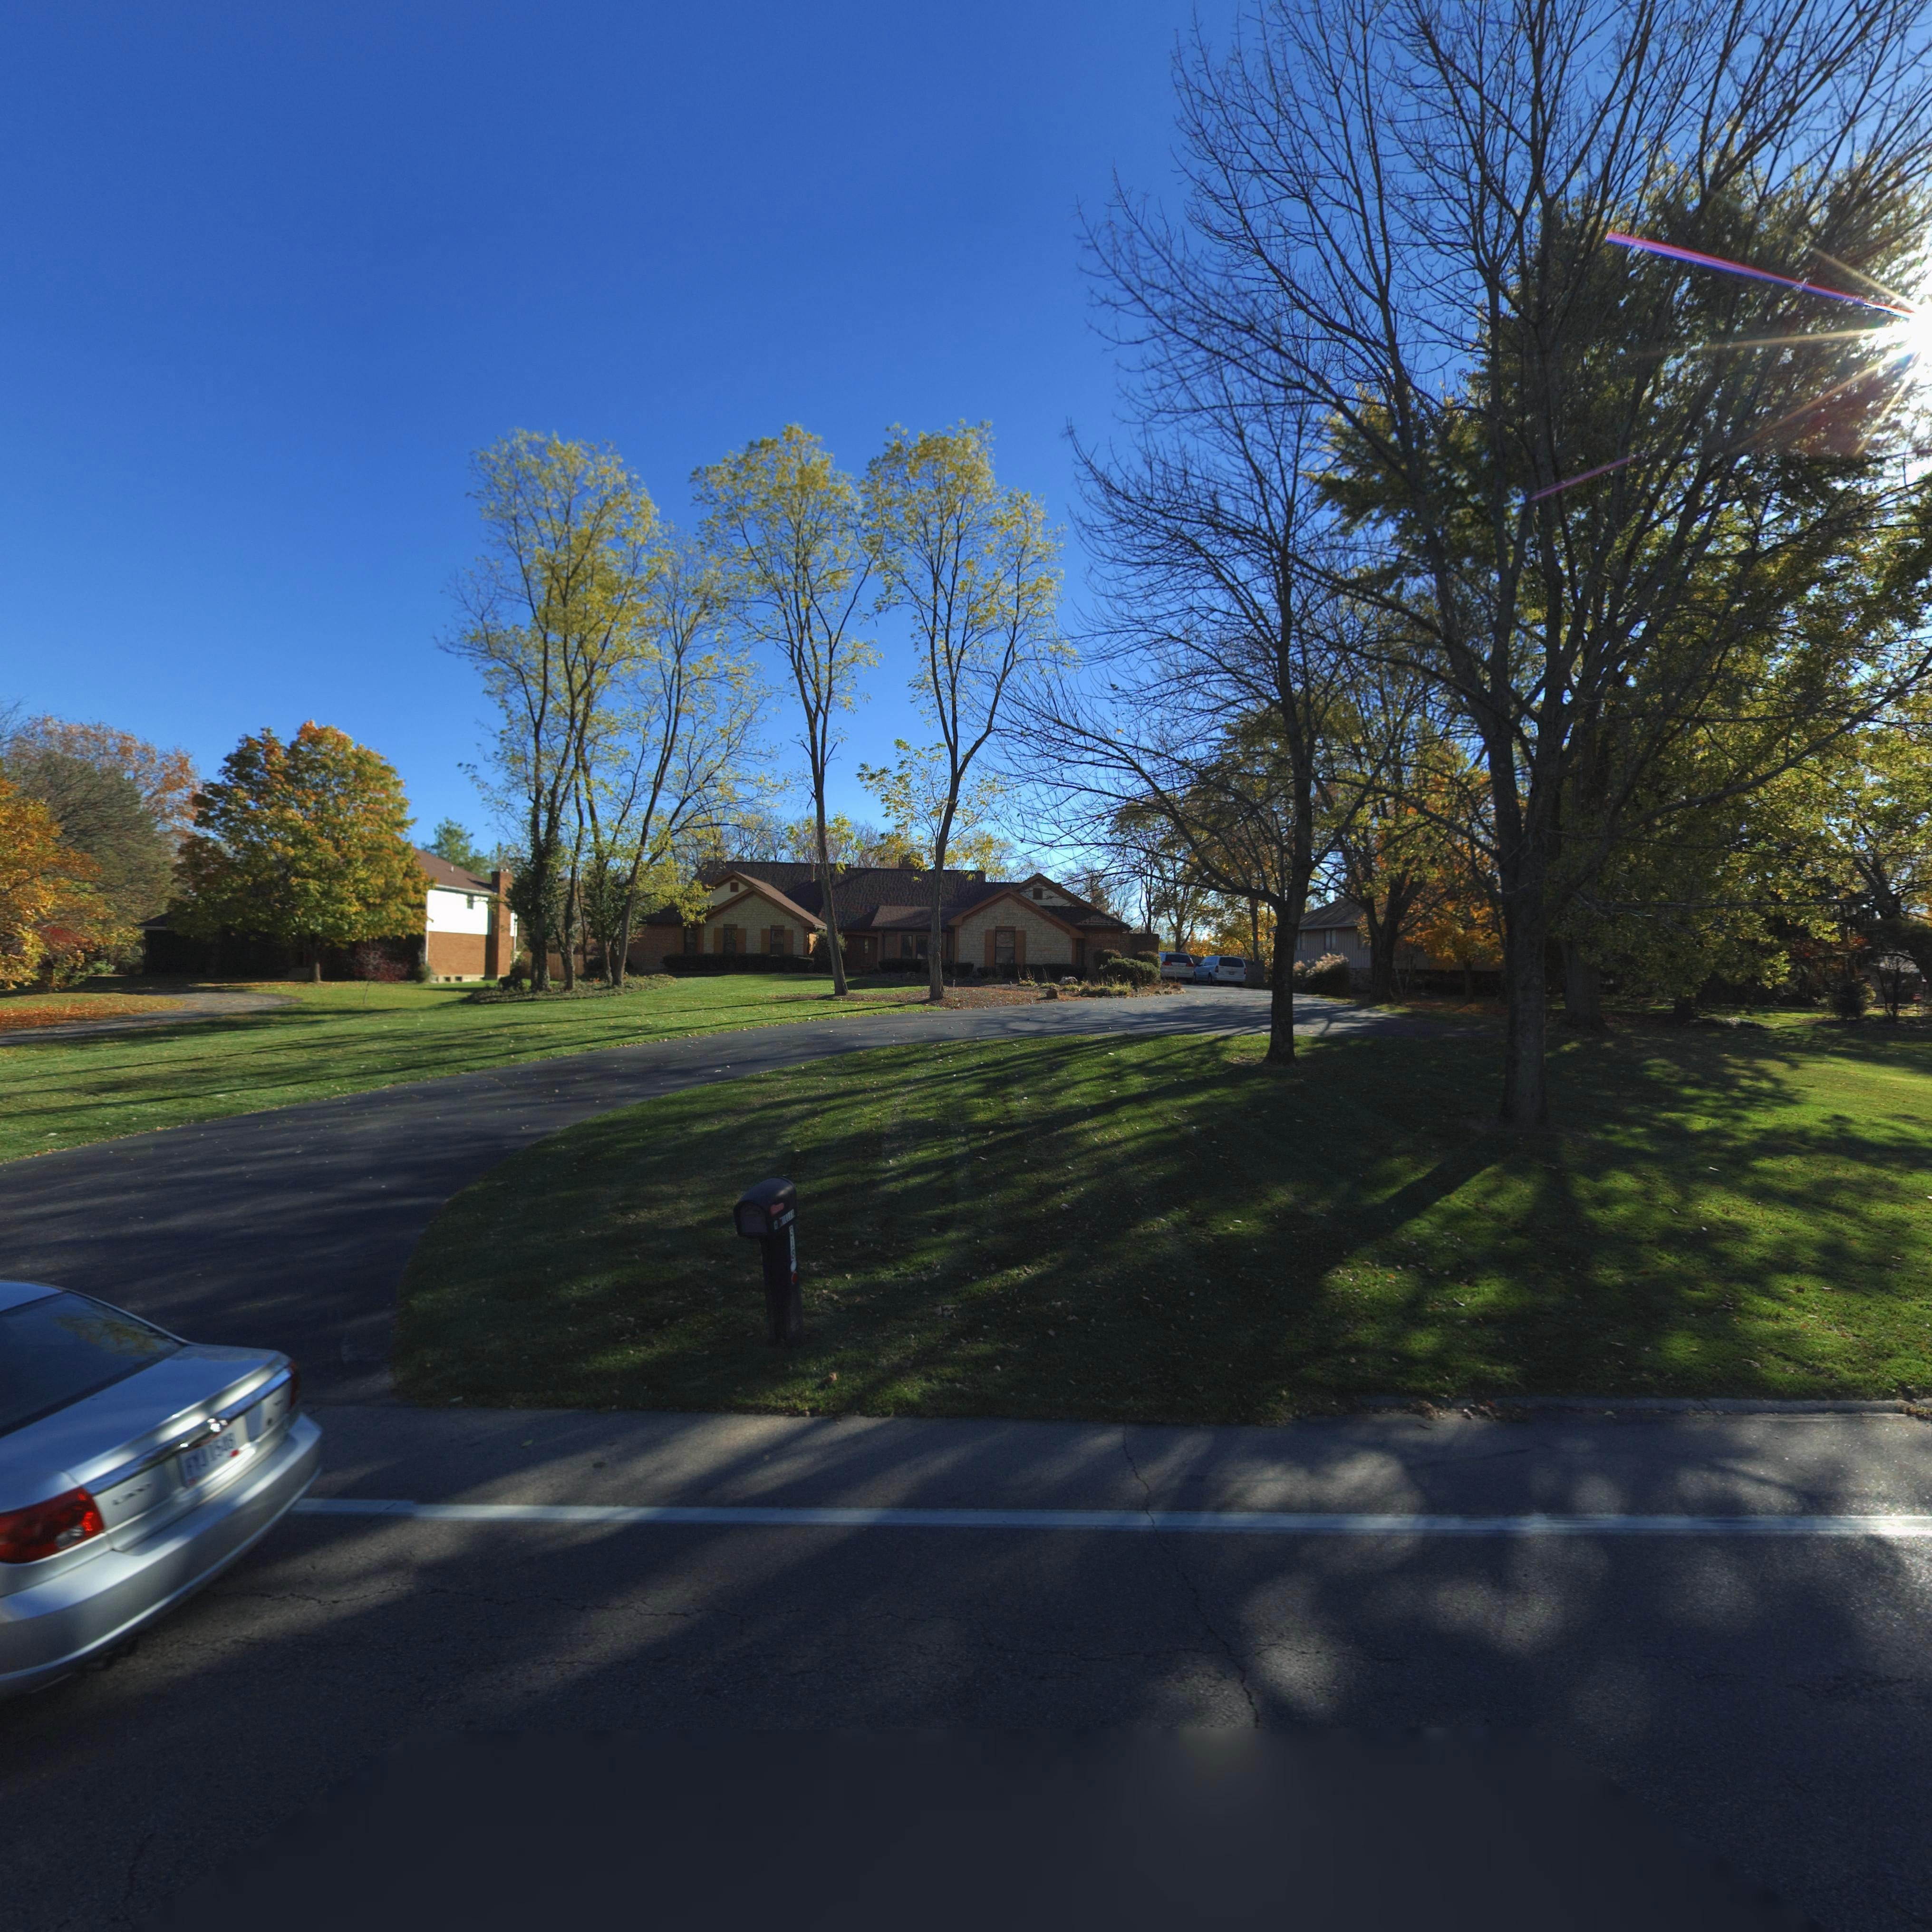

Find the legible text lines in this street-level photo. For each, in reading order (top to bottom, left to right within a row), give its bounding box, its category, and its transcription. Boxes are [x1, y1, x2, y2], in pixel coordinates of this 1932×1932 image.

[788, 1224, 797, 1260] StreetNumber: 318